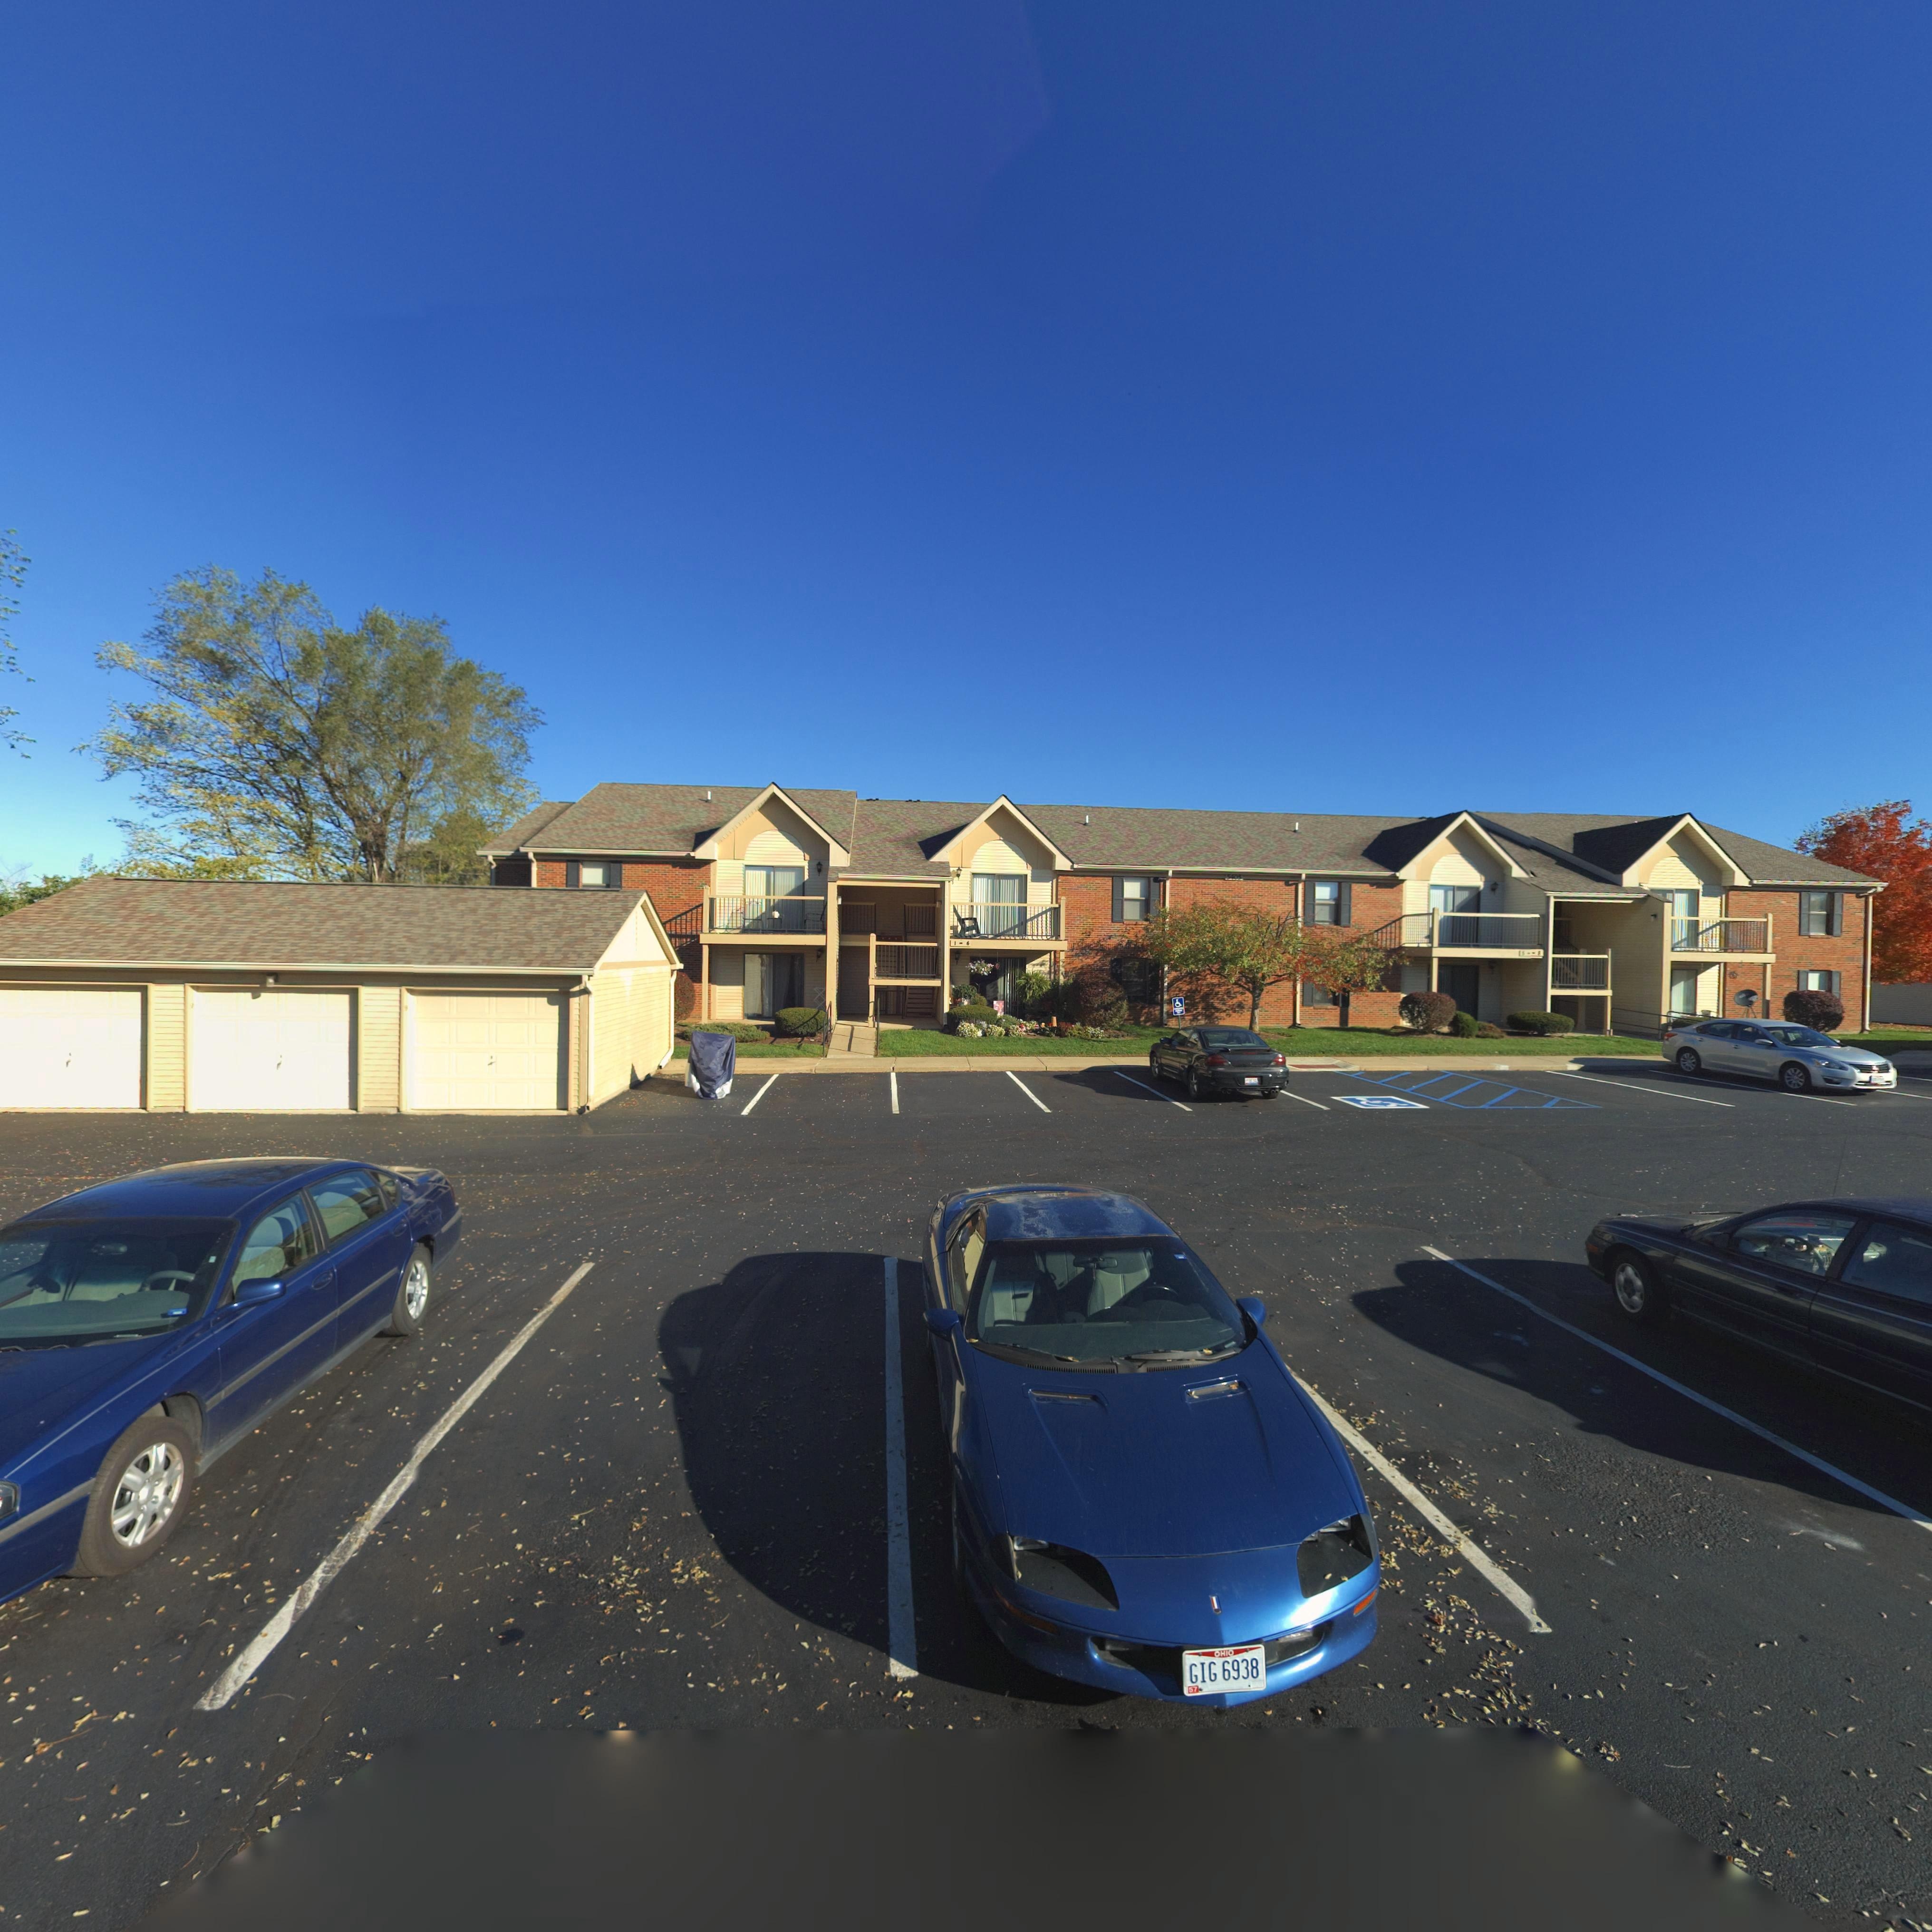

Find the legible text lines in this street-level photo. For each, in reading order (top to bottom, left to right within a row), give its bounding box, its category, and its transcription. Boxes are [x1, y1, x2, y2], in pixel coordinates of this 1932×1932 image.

[953, 940, 970, 946] StreetNumber: 1-4
[1521, 950, 1541, 956] StreetNumber: 5--8